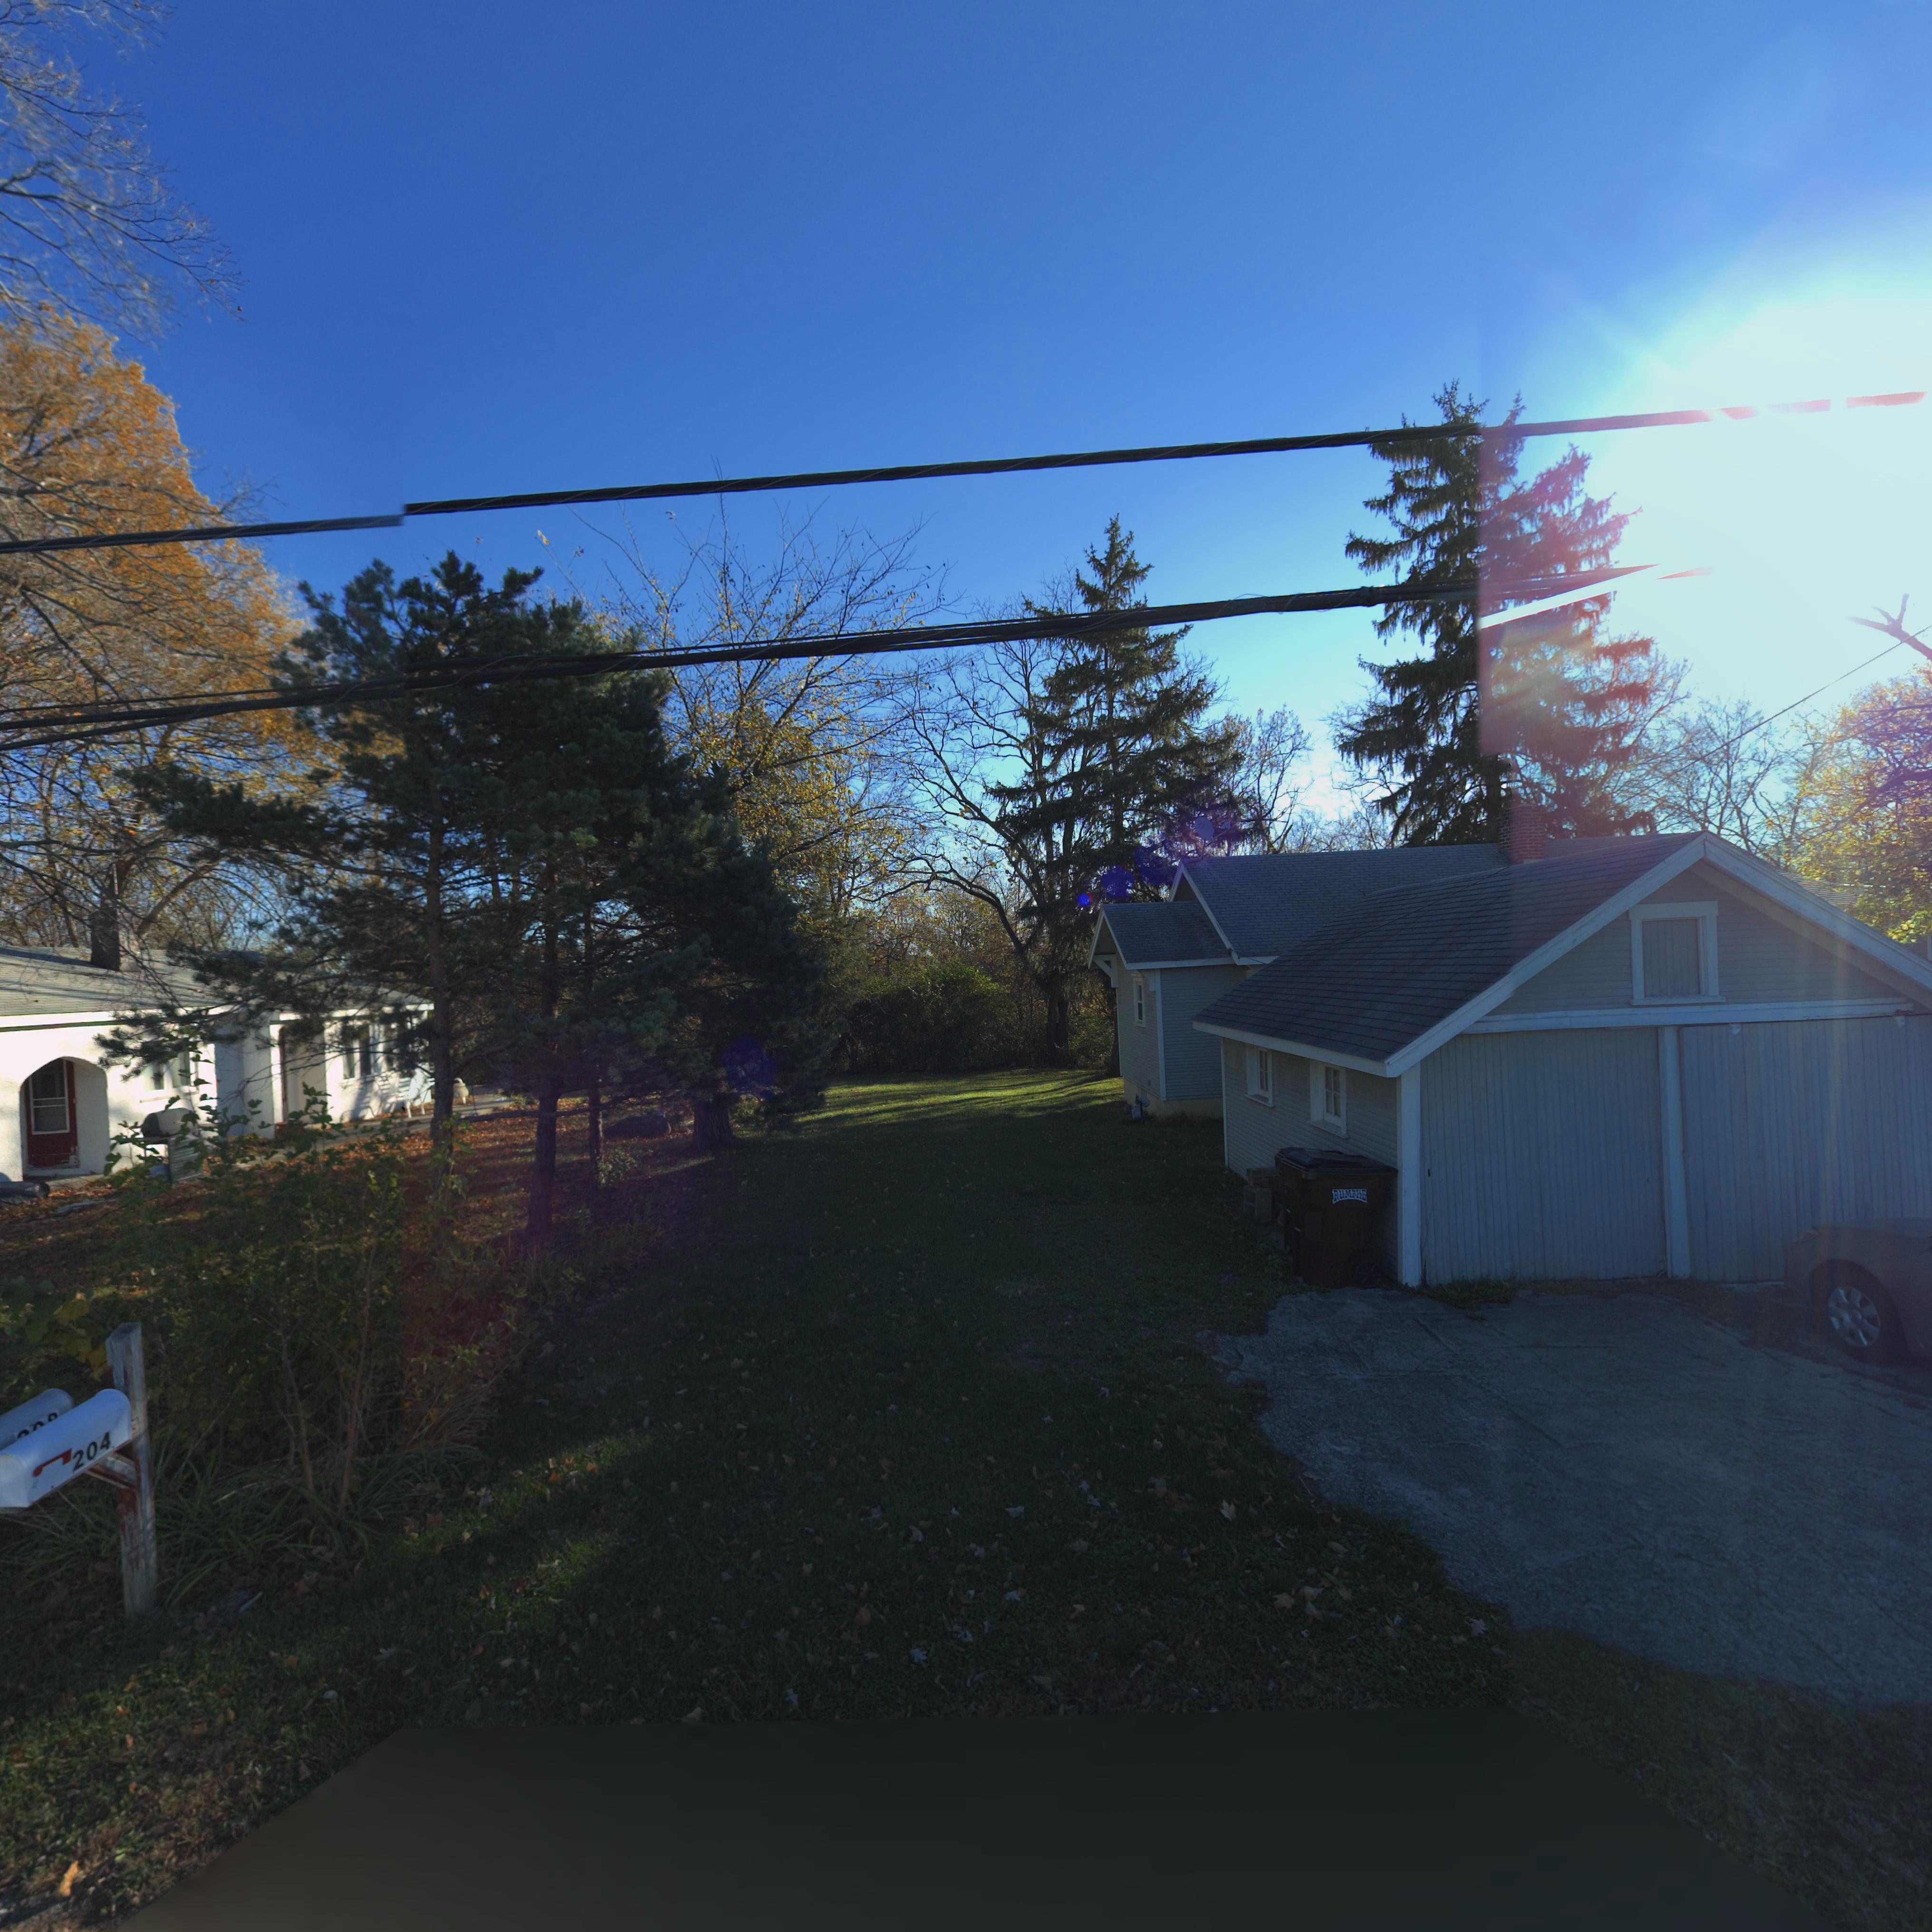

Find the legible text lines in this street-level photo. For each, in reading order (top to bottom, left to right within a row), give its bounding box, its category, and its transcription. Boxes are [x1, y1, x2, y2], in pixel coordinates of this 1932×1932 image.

[72, 1429, 112, 1474] StreetNumber: 204